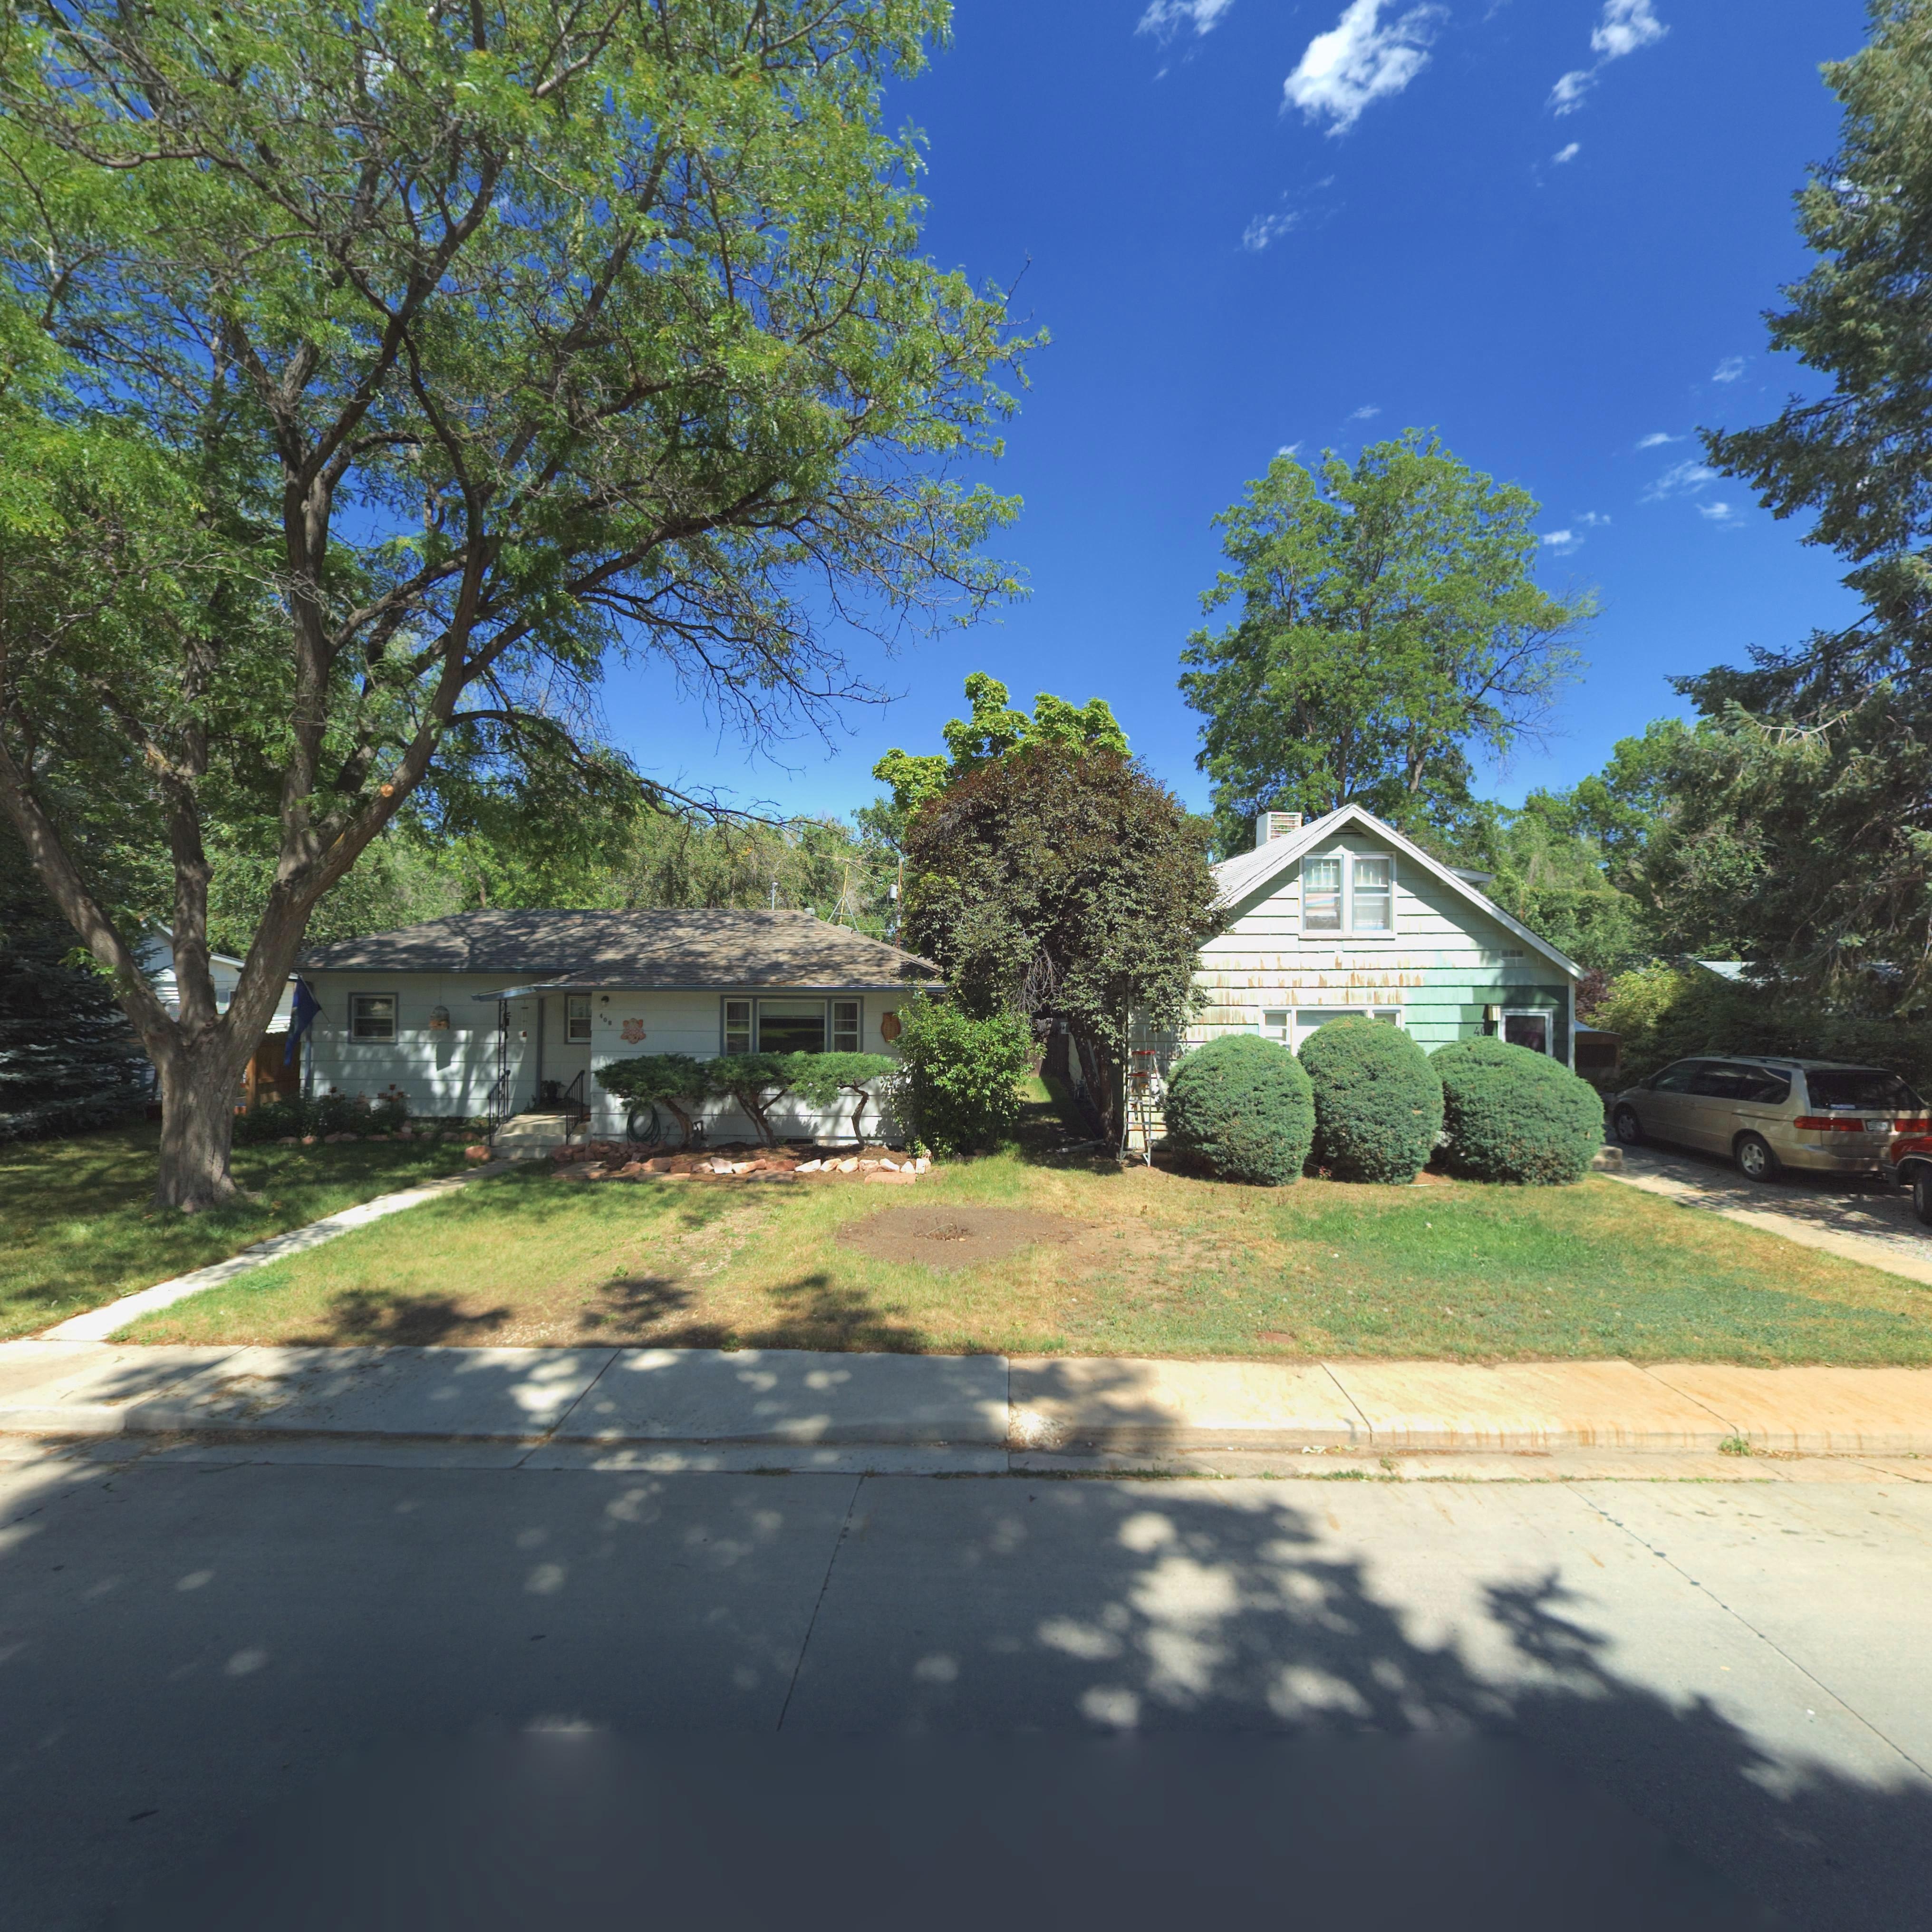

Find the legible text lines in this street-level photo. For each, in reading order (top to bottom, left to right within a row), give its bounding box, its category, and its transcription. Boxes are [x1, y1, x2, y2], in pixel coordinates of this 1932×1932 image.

[599, 1013, 612, 1026] StreetNumber: 408
[1473, 1026, 1494, 1036] StreetNumber: 402